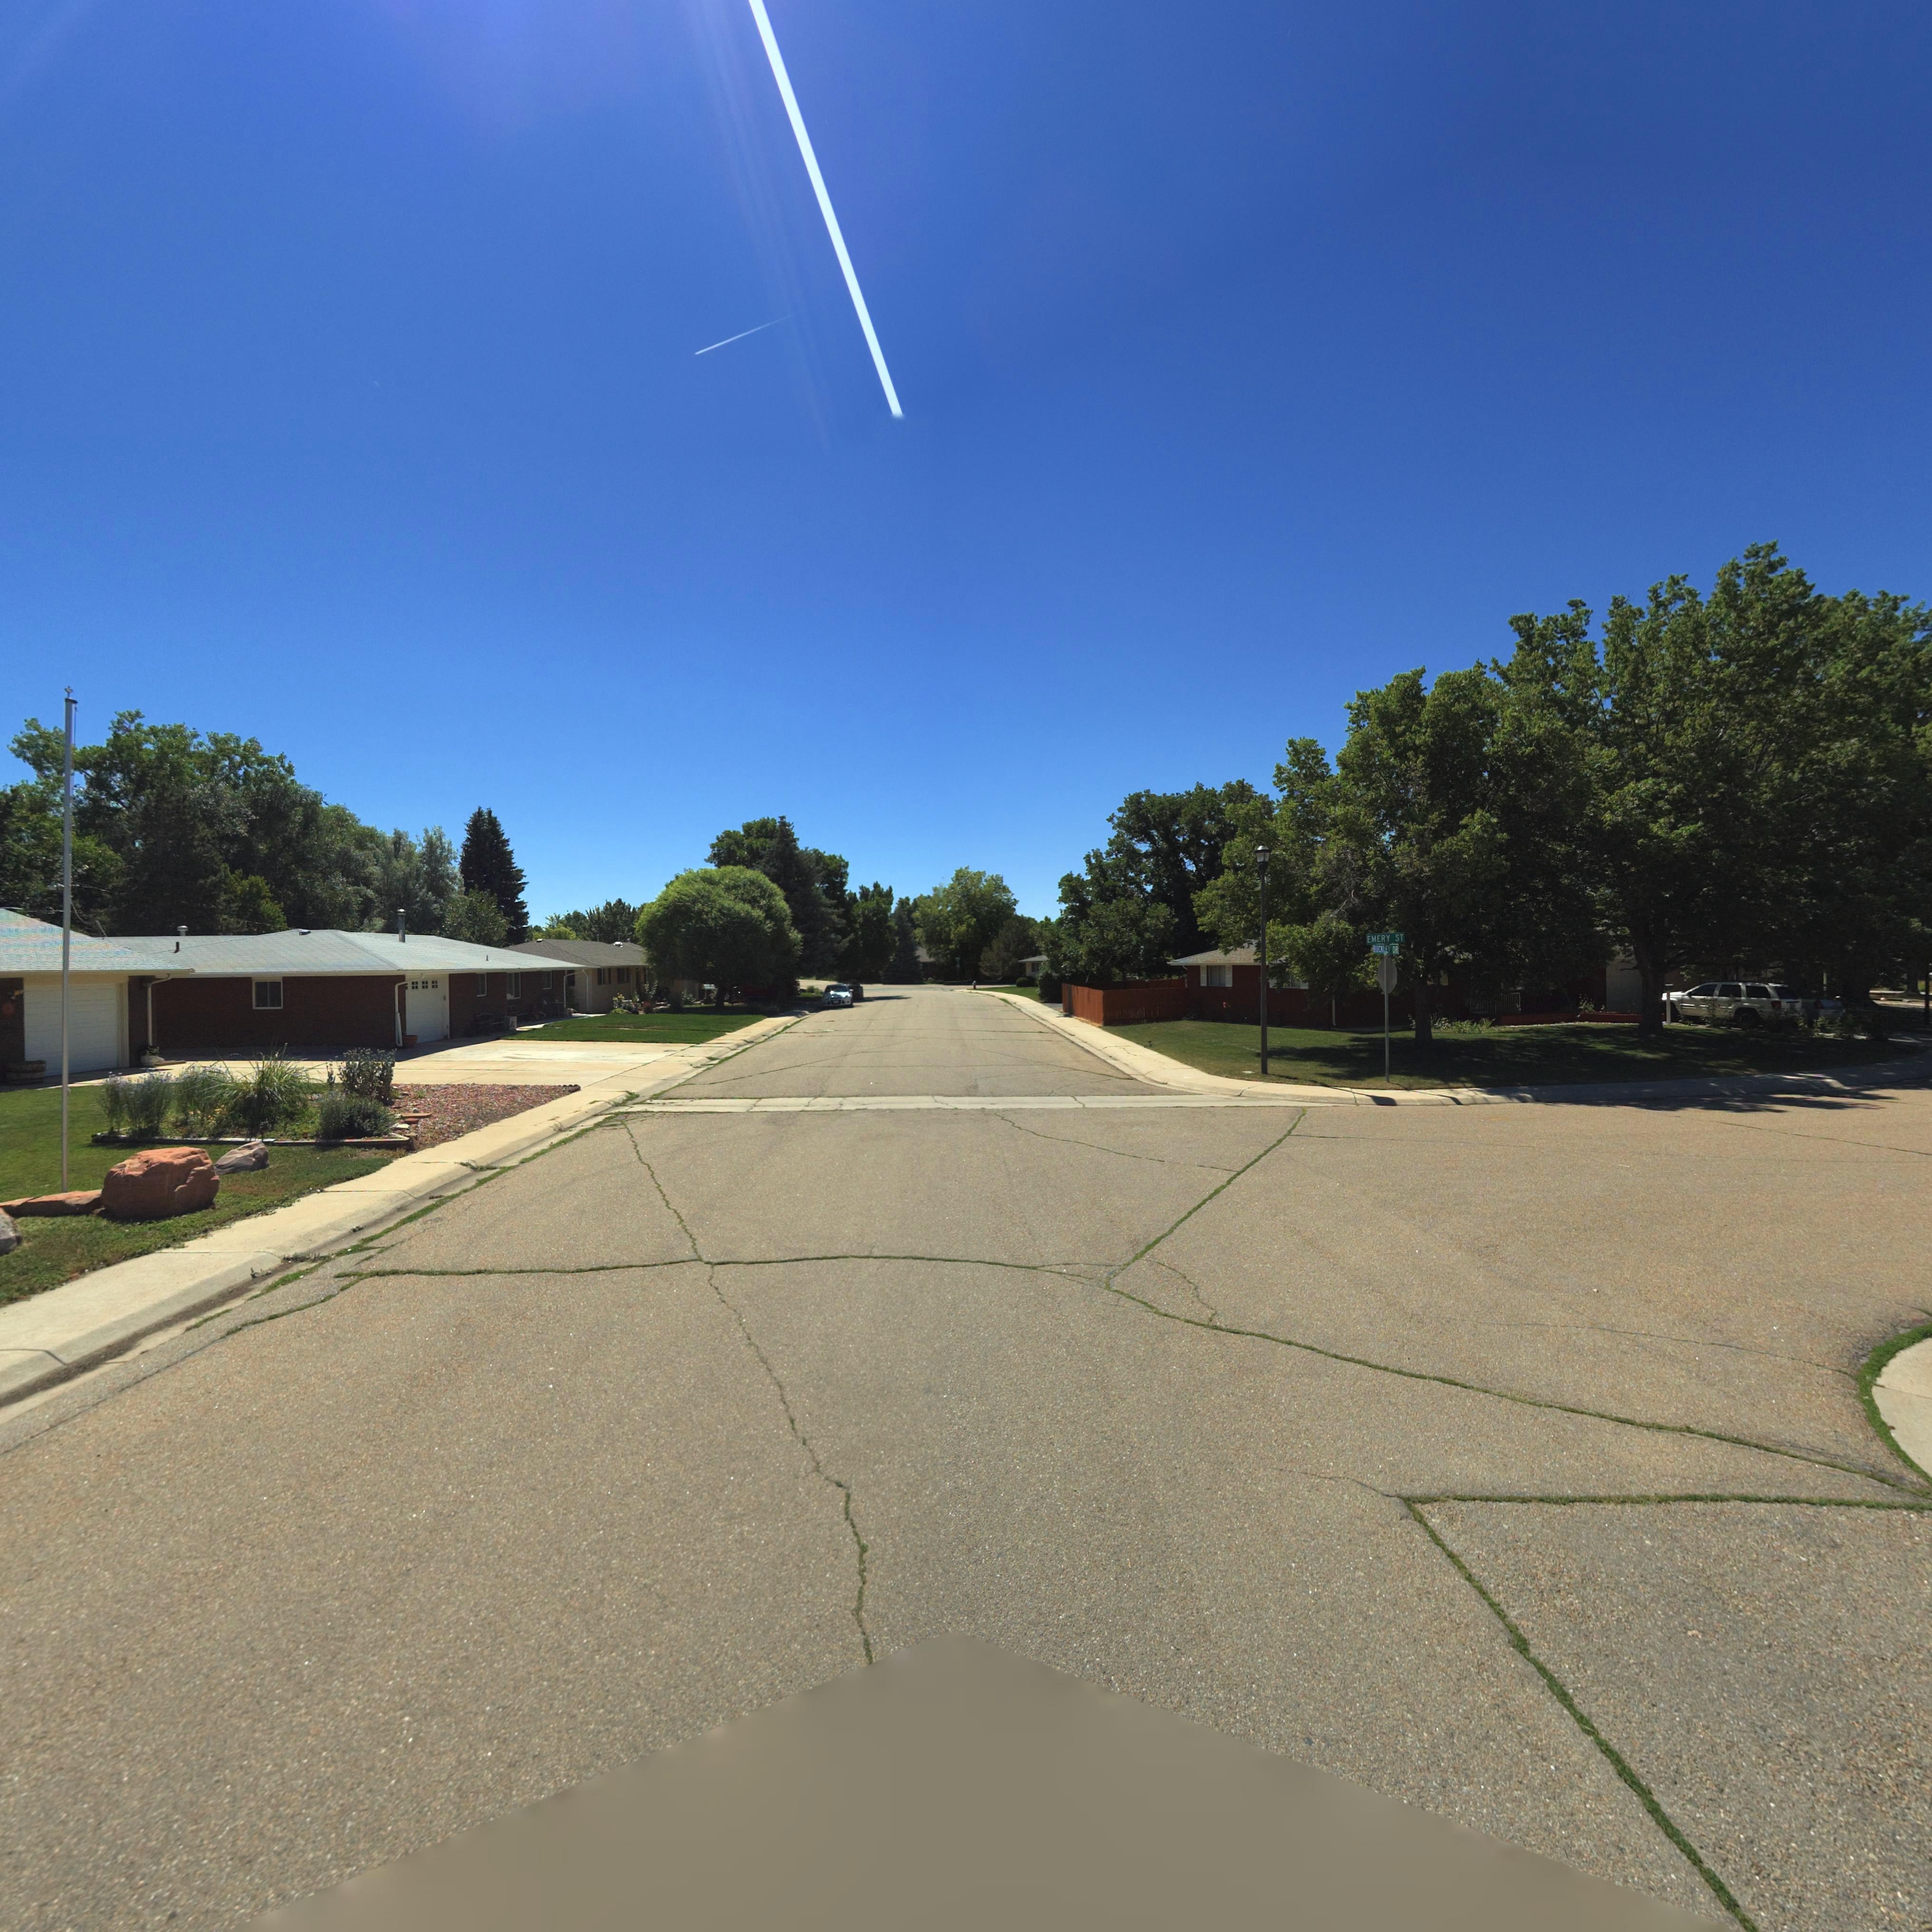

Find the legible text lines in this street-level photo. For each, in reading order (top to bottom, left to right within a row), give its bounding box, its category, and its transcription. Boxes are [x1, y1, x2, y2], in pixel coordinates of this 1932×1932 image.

[1367, 933, 1403, 943] StreetName: EMERY ST
[1372, 945, 1399, 955] StreetName: BUCKLEY DR